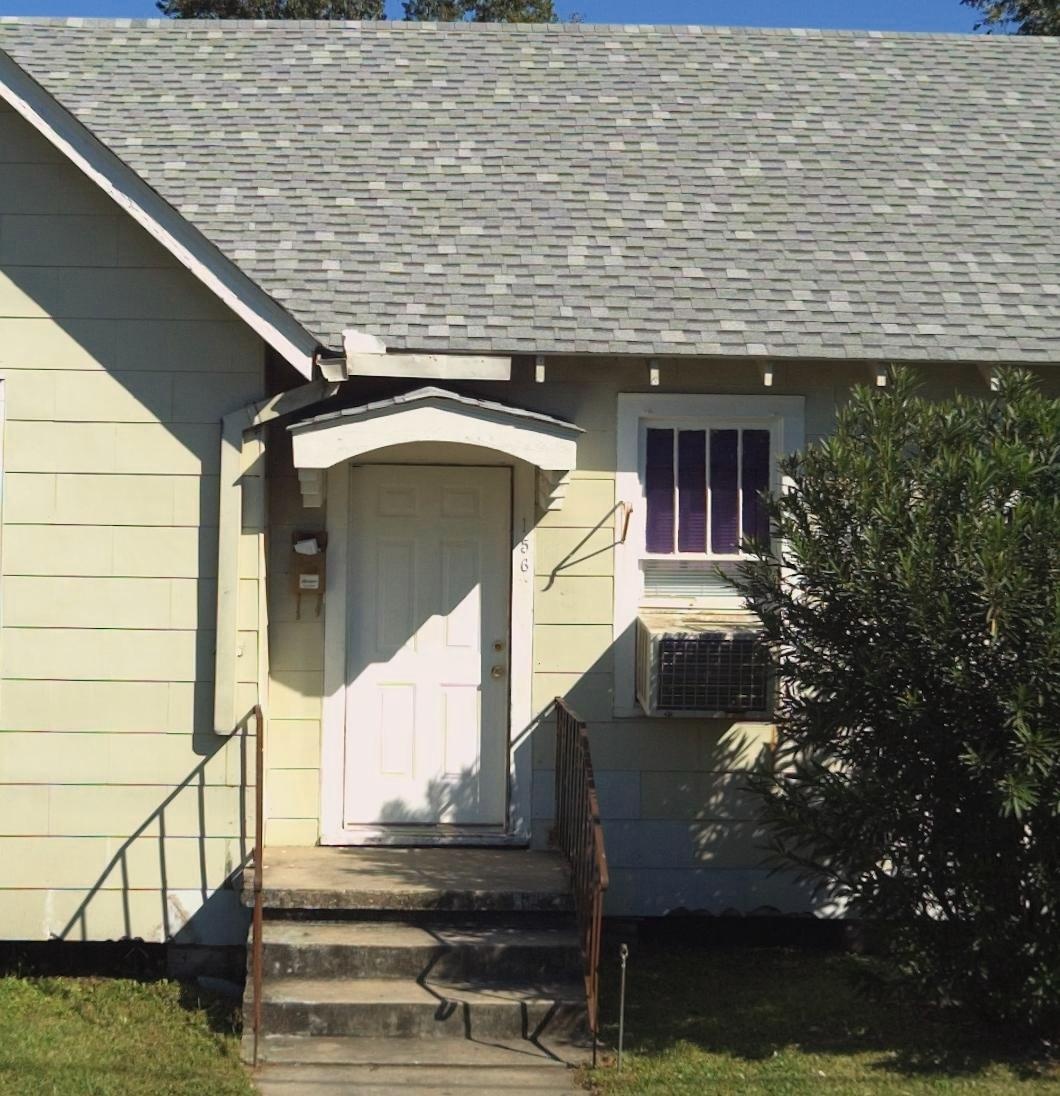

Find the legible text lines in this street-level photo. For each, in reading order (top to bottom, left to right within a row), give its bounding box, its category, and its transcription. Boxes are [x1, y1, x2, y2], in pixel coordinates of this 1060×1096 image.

[518, 515, 531, 574] StreetNumber: 156